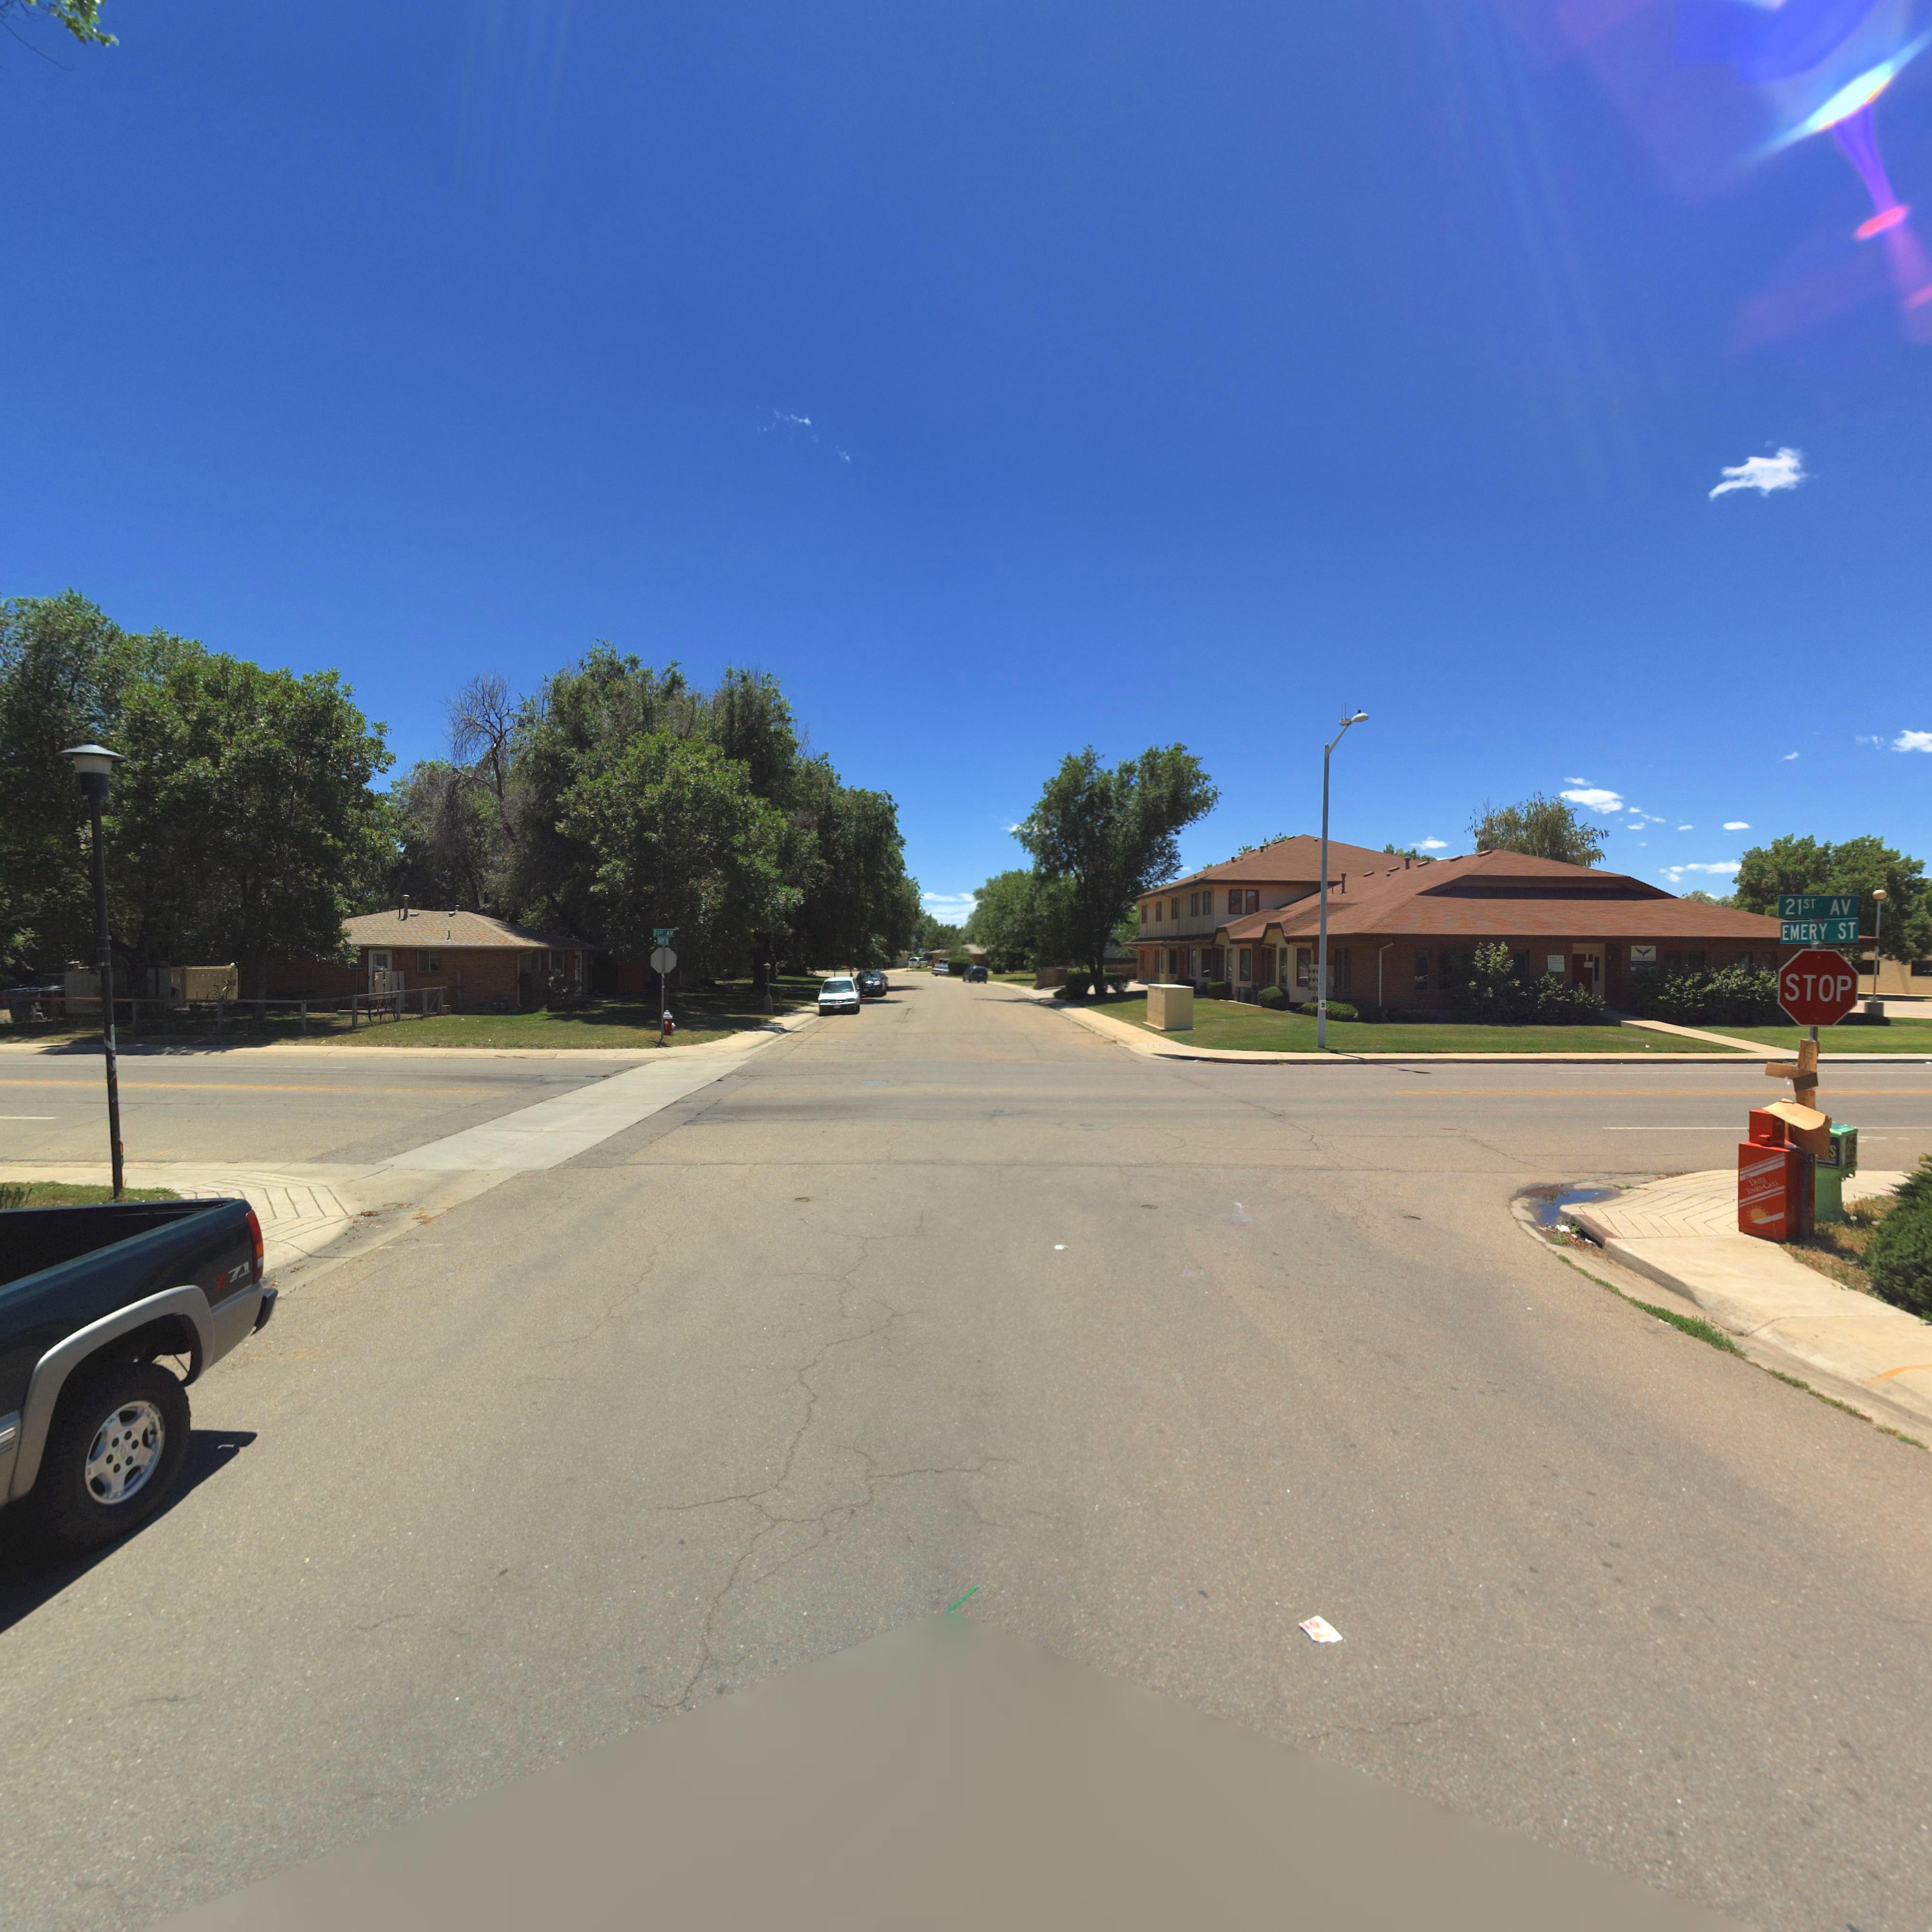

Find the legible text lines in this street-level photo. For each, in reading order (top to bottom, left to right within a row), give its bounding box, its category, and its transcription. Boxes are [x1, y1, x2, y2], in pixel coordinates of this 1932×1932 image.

[1785, 898, 1852, 916] StreetName: 21st AV
[657, 937, 669, 944] StreetName: E**** **
[653, 929, 675, 937] StreetName: 21ST AV
[1781, 921, 1856, 940] StreetName: EMERY ST